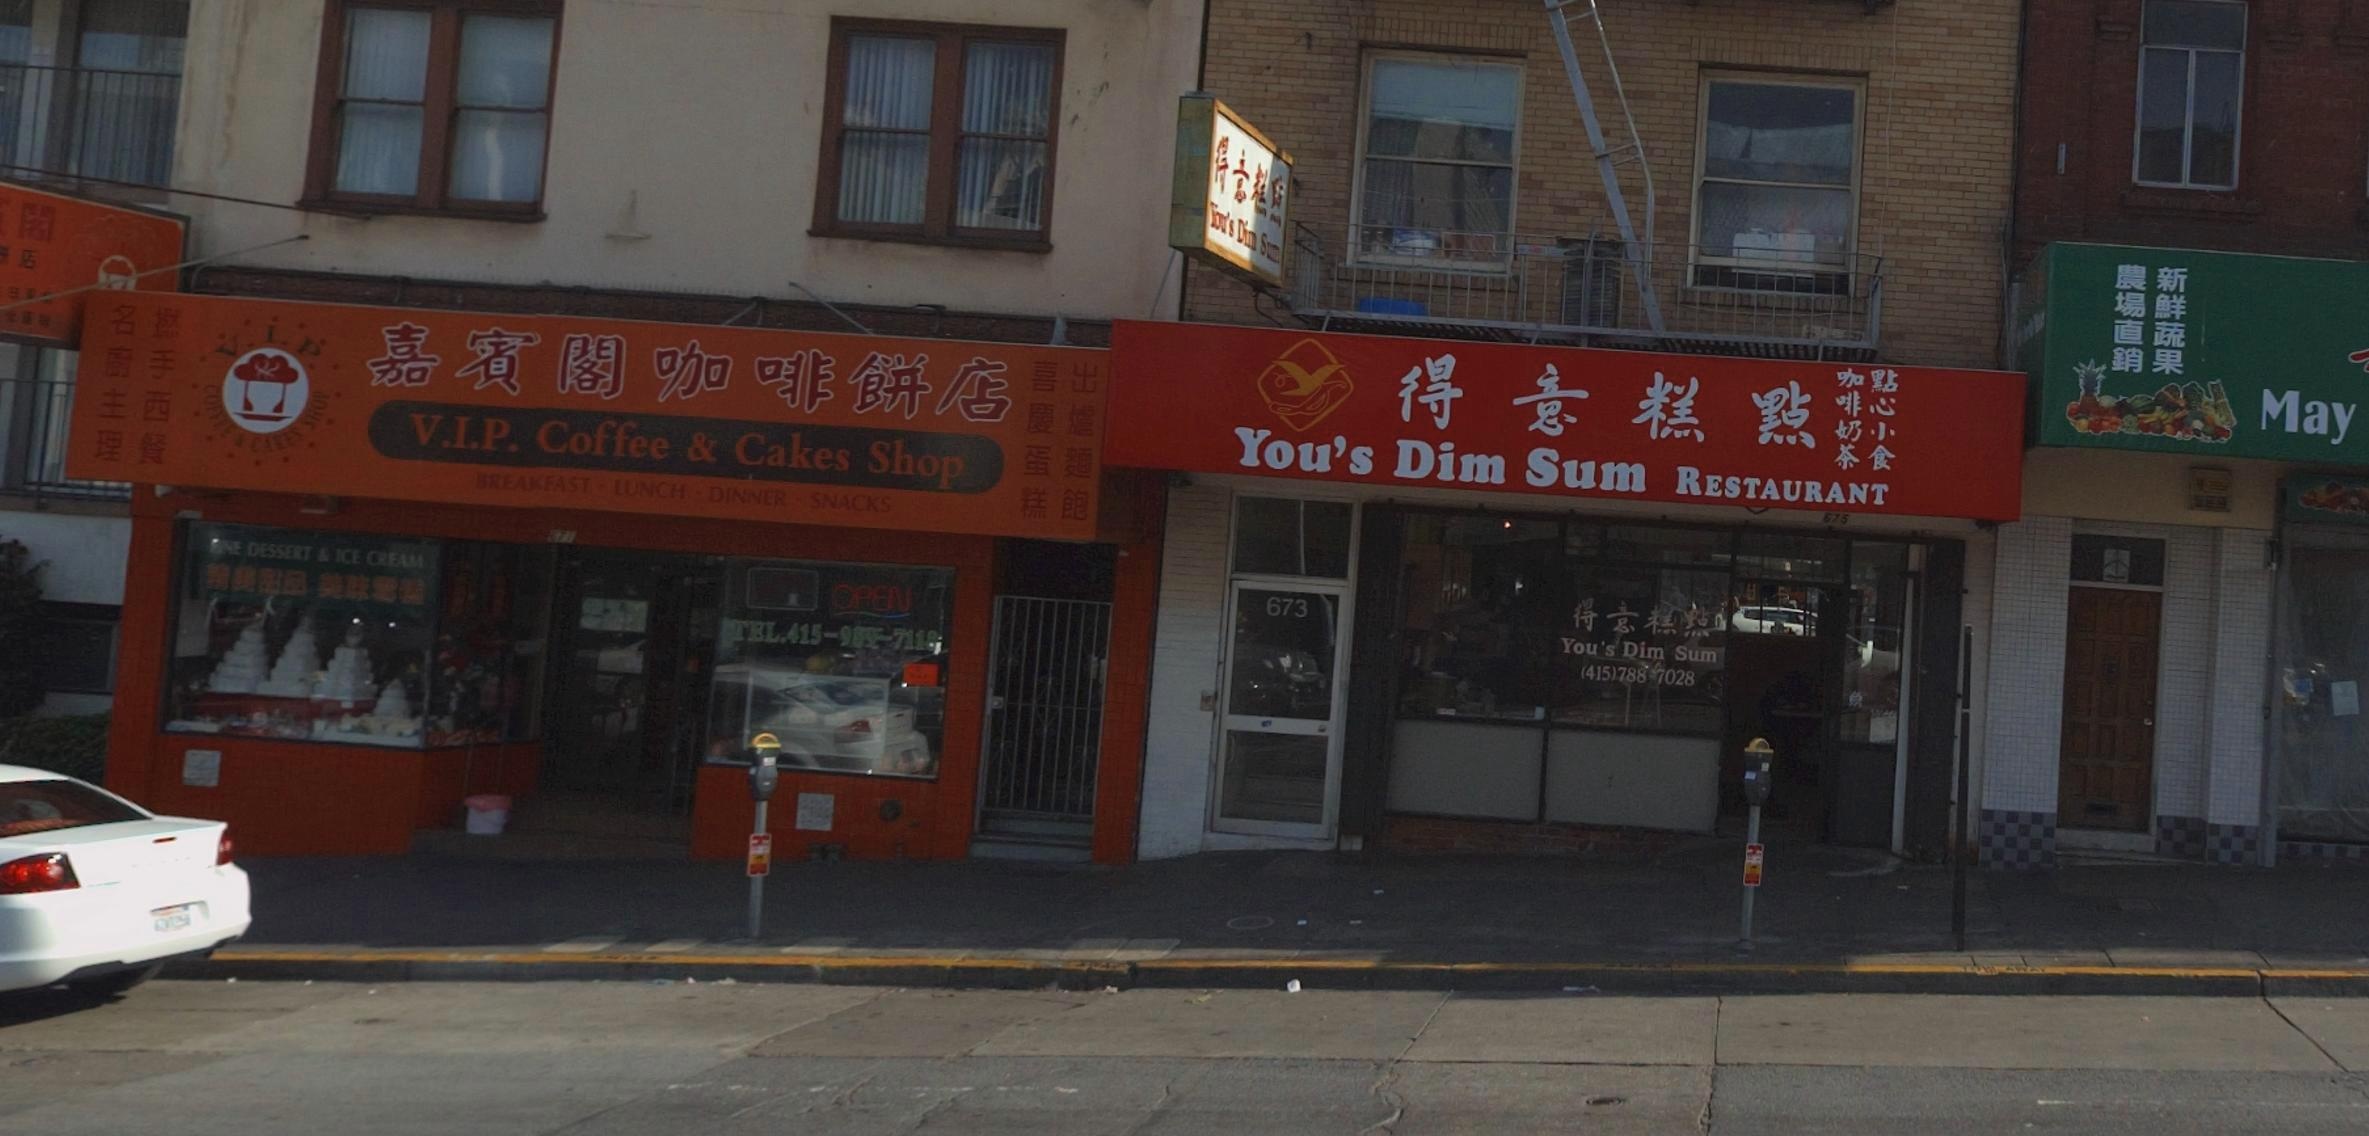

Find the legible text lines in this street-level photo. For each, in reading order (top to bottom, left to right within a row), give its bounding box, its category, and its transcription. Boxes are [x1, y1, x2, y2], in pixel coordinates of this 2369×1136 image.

[1207, 199, 1282, 267] BusinessName: You's Dim Sum
[2259, 383, 2360, 448] None: May
[408, 411, 968, 491] BusinessName: V.I.P. Coffee & Cakes Shop
[1233, 427, 1890, 508] BusinessName: You's Dim Sum RESTAURANT
[472, 469, 892, 516] None: BREAKFAST * LUNCH * DINNER * SNACKS
[1820, 511, 1851, 525] StreetNumber: 675
[546, 528, 578, 544] StreetNumber: 671
[230, 539, 425, 571] None: E DESSERT & ICE CREAM
[829, 582, 914, 615] None: OPEN
[1264, 593, 1309, 622] StreetNumber: 673
[728, 617, 940, 653] None: TEL.415-989-7118
[1560, 635, 1718, 664] BusinessName: You's Dim Sum
[1580, 663, 1695, 687] None: (415)788-7028